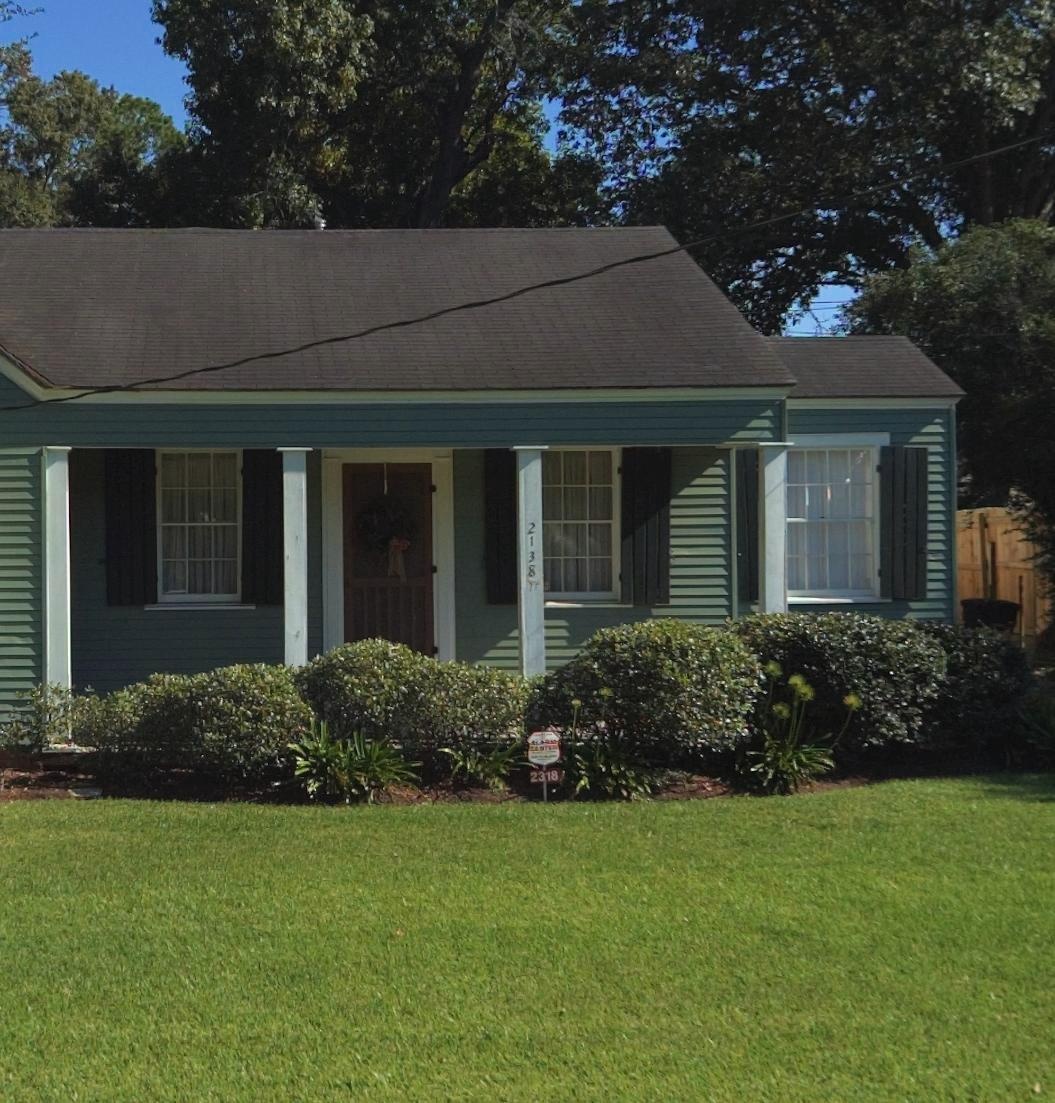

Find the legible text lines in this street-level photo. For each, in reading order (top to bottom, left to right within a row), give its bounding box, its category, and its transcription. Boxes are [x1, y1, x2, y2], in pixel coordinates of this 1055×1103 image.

[525, 520, 538, 578] StreetNumber: 2138
[528, 768, 560, 784] StreetNumber: 2318